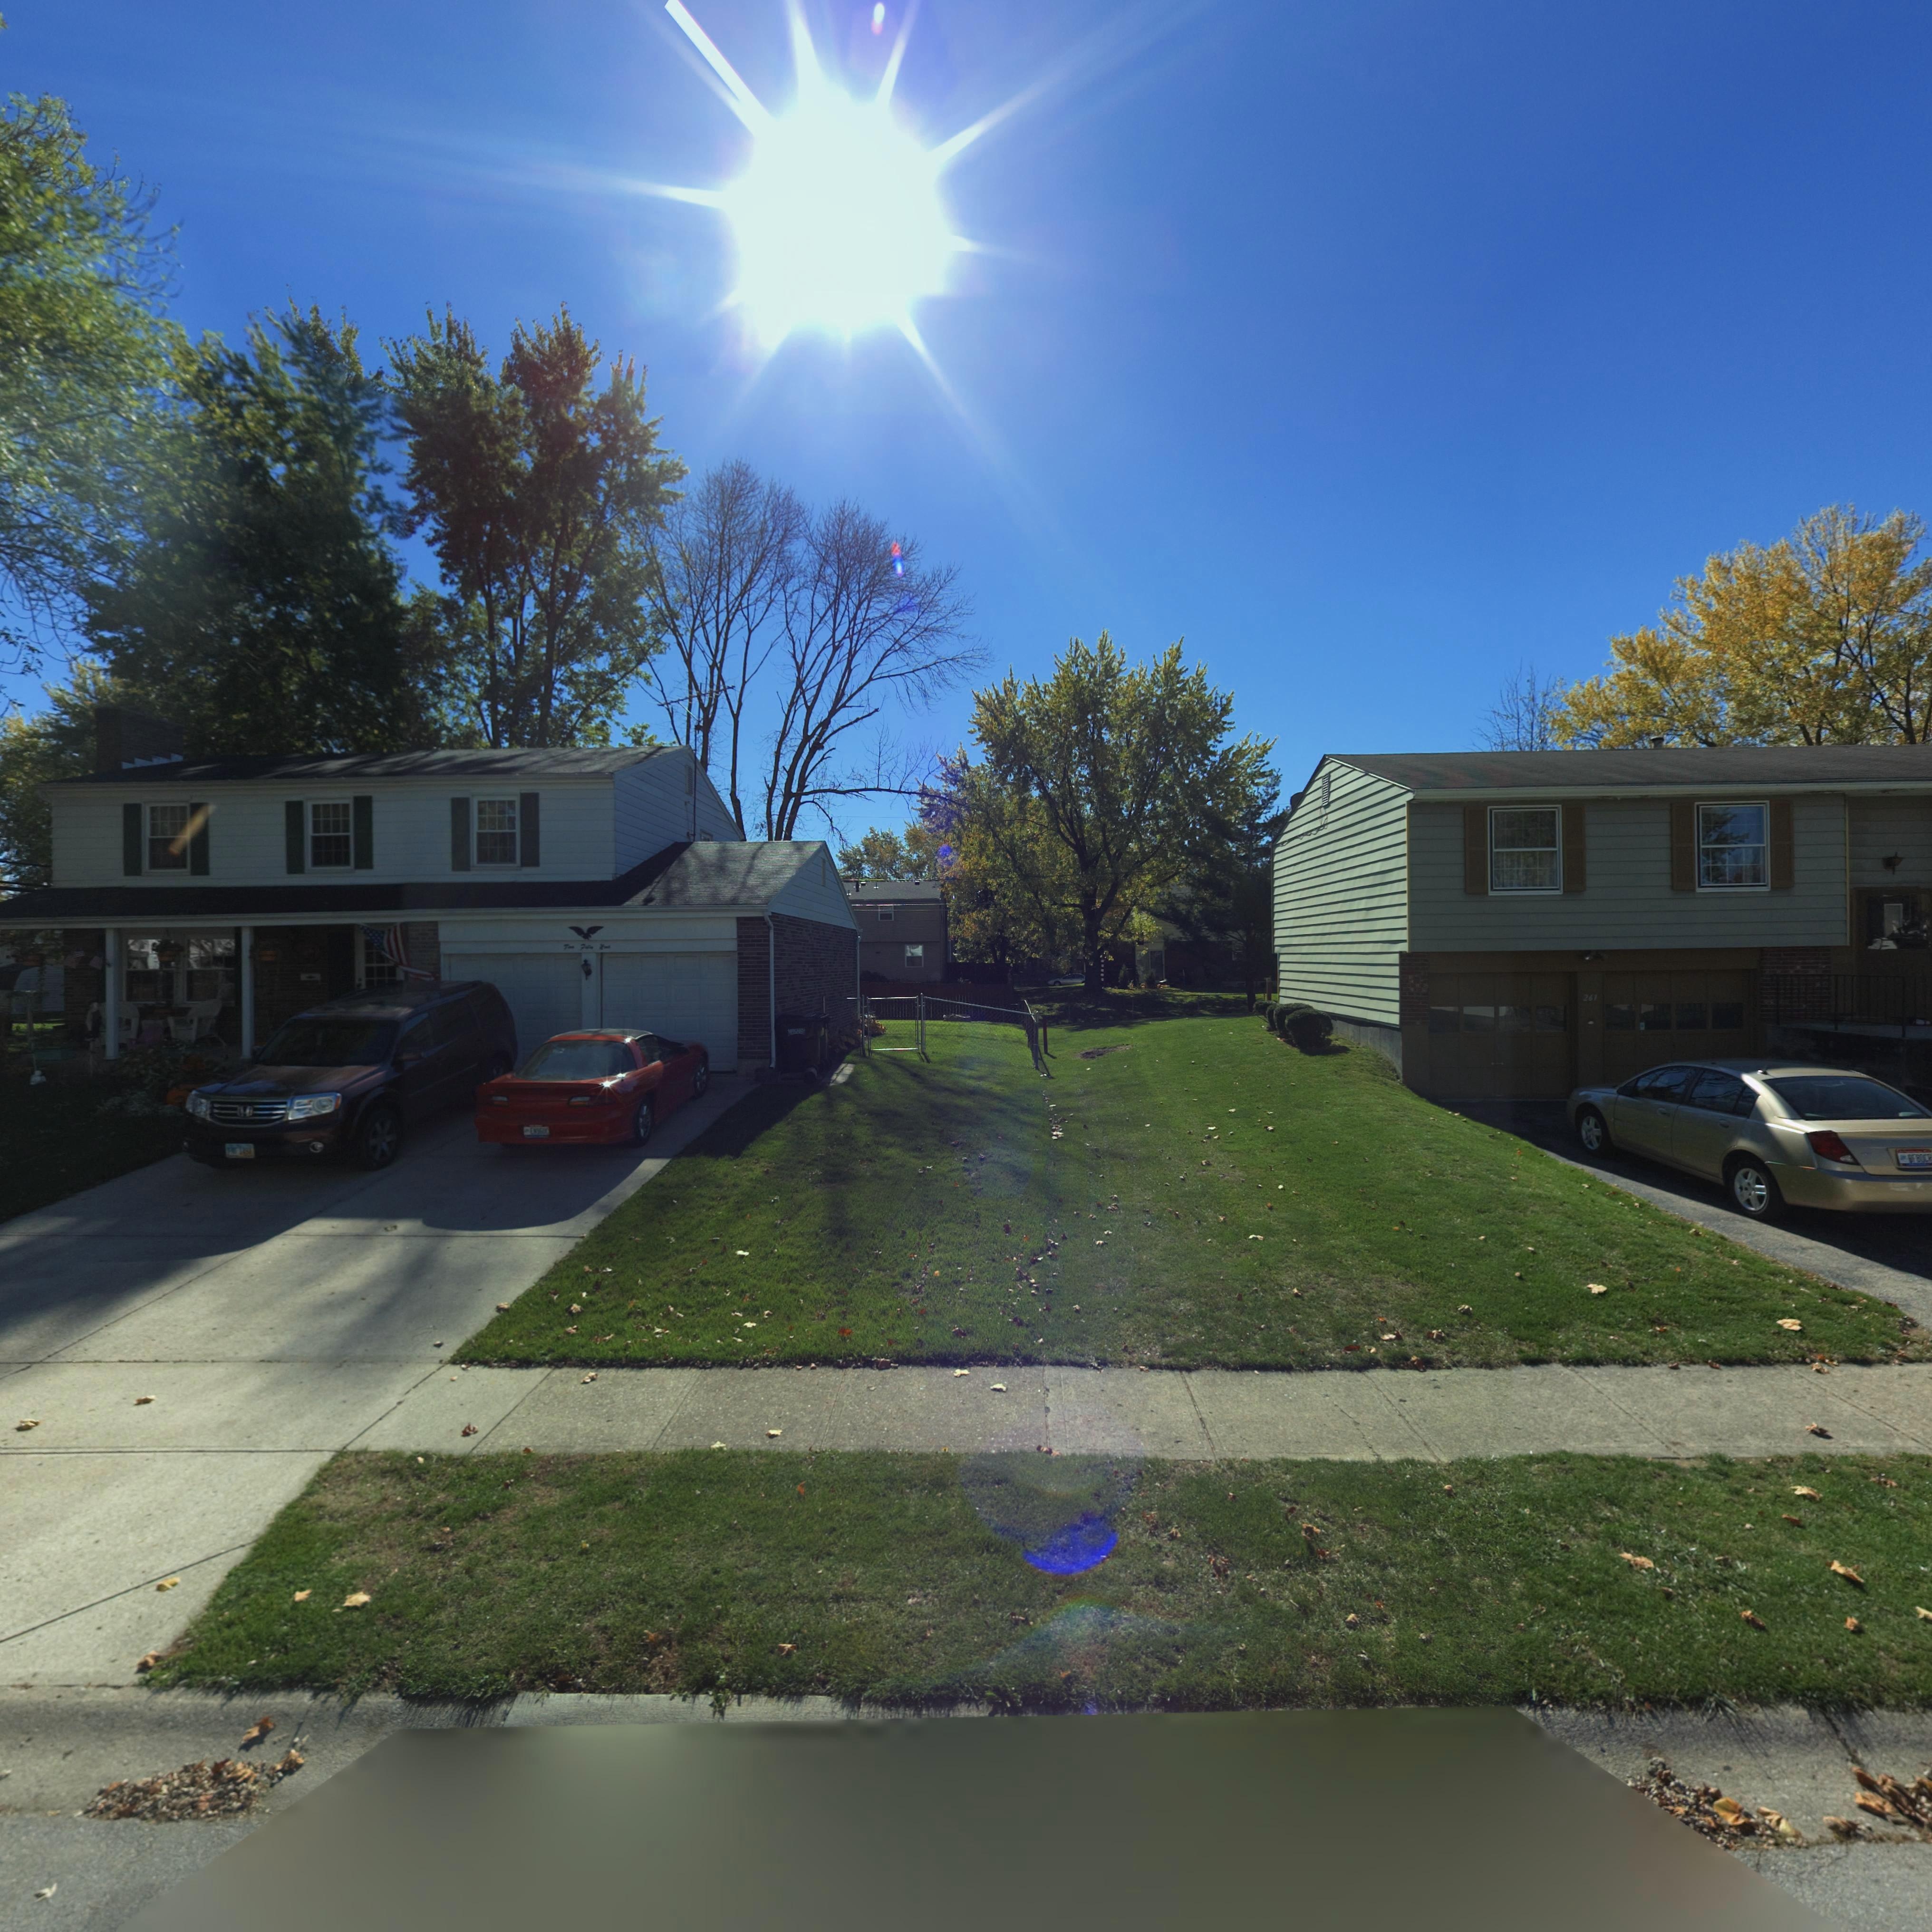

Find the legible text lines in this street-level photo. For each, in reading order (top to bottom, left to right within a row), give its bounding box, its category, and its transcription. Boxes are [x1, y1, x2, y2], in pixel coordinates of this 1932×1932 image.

[1583, 993, 1598, 1002] StreetNumber: 261